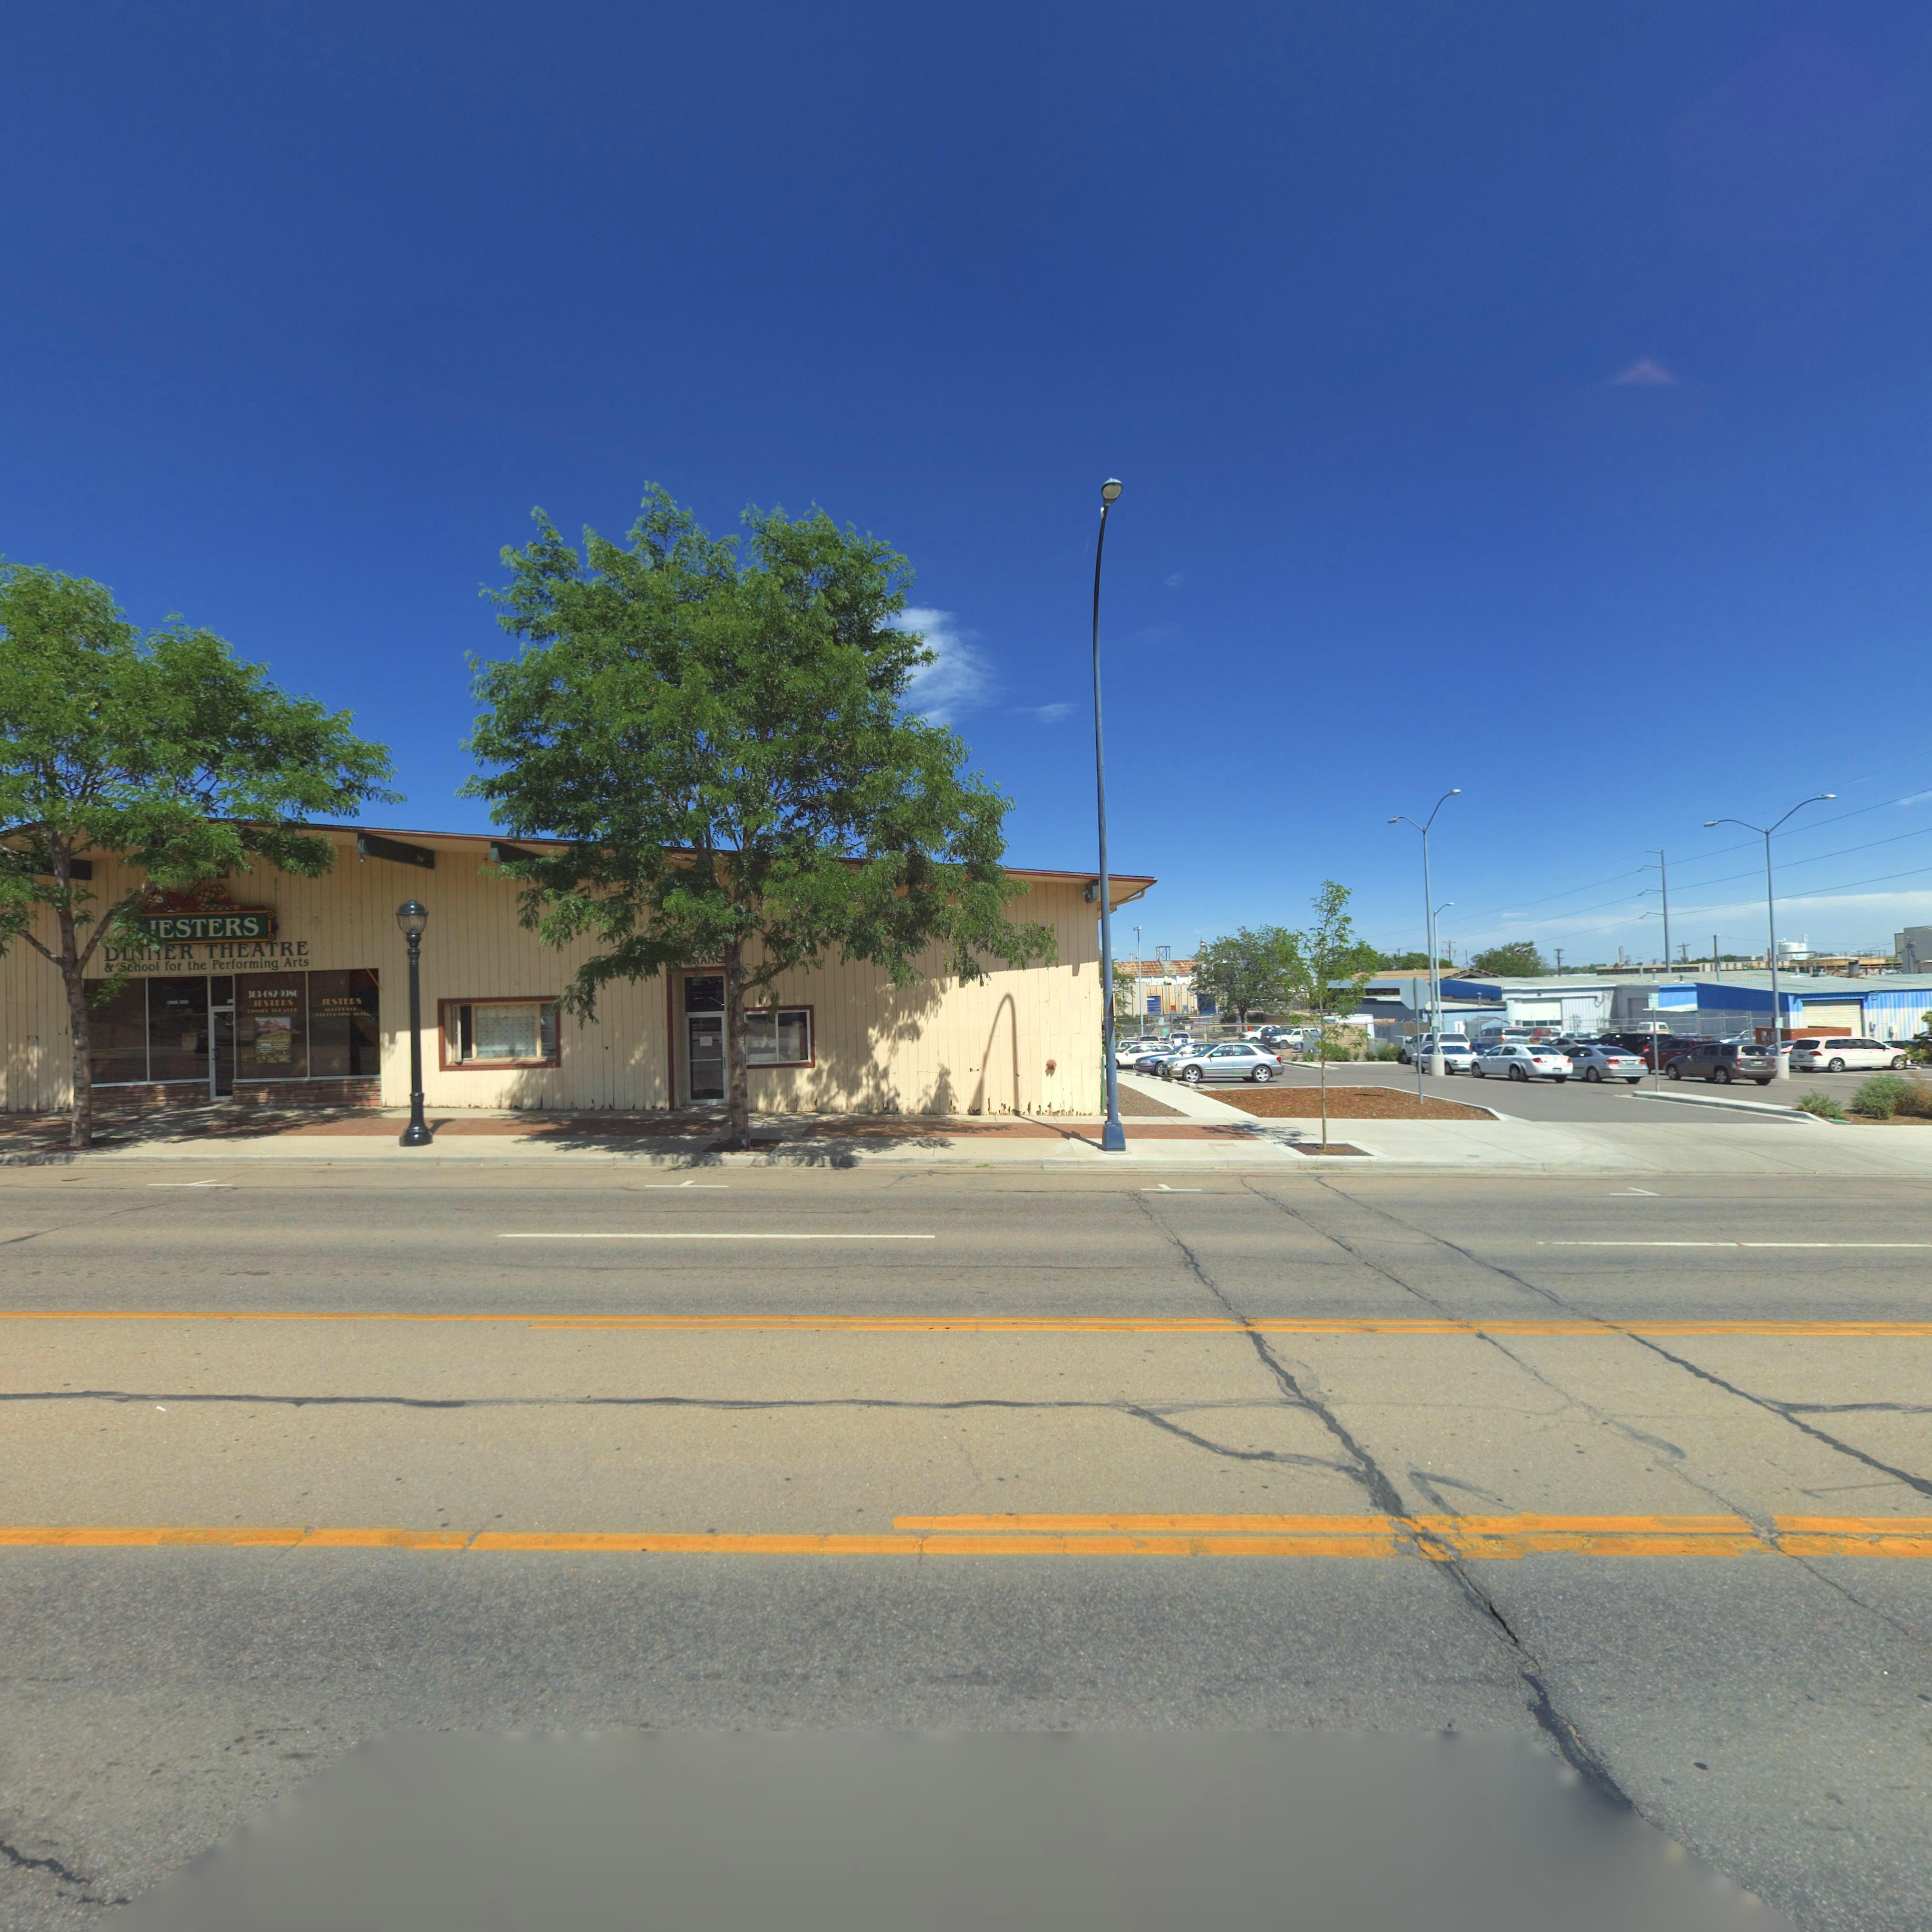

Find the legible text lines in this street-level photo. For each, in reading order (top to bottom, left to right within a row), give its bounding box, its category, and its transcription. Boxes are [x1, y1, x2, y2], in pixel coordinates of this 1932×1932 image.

[149, 917, 260, 937] BusinessName: JESTERS